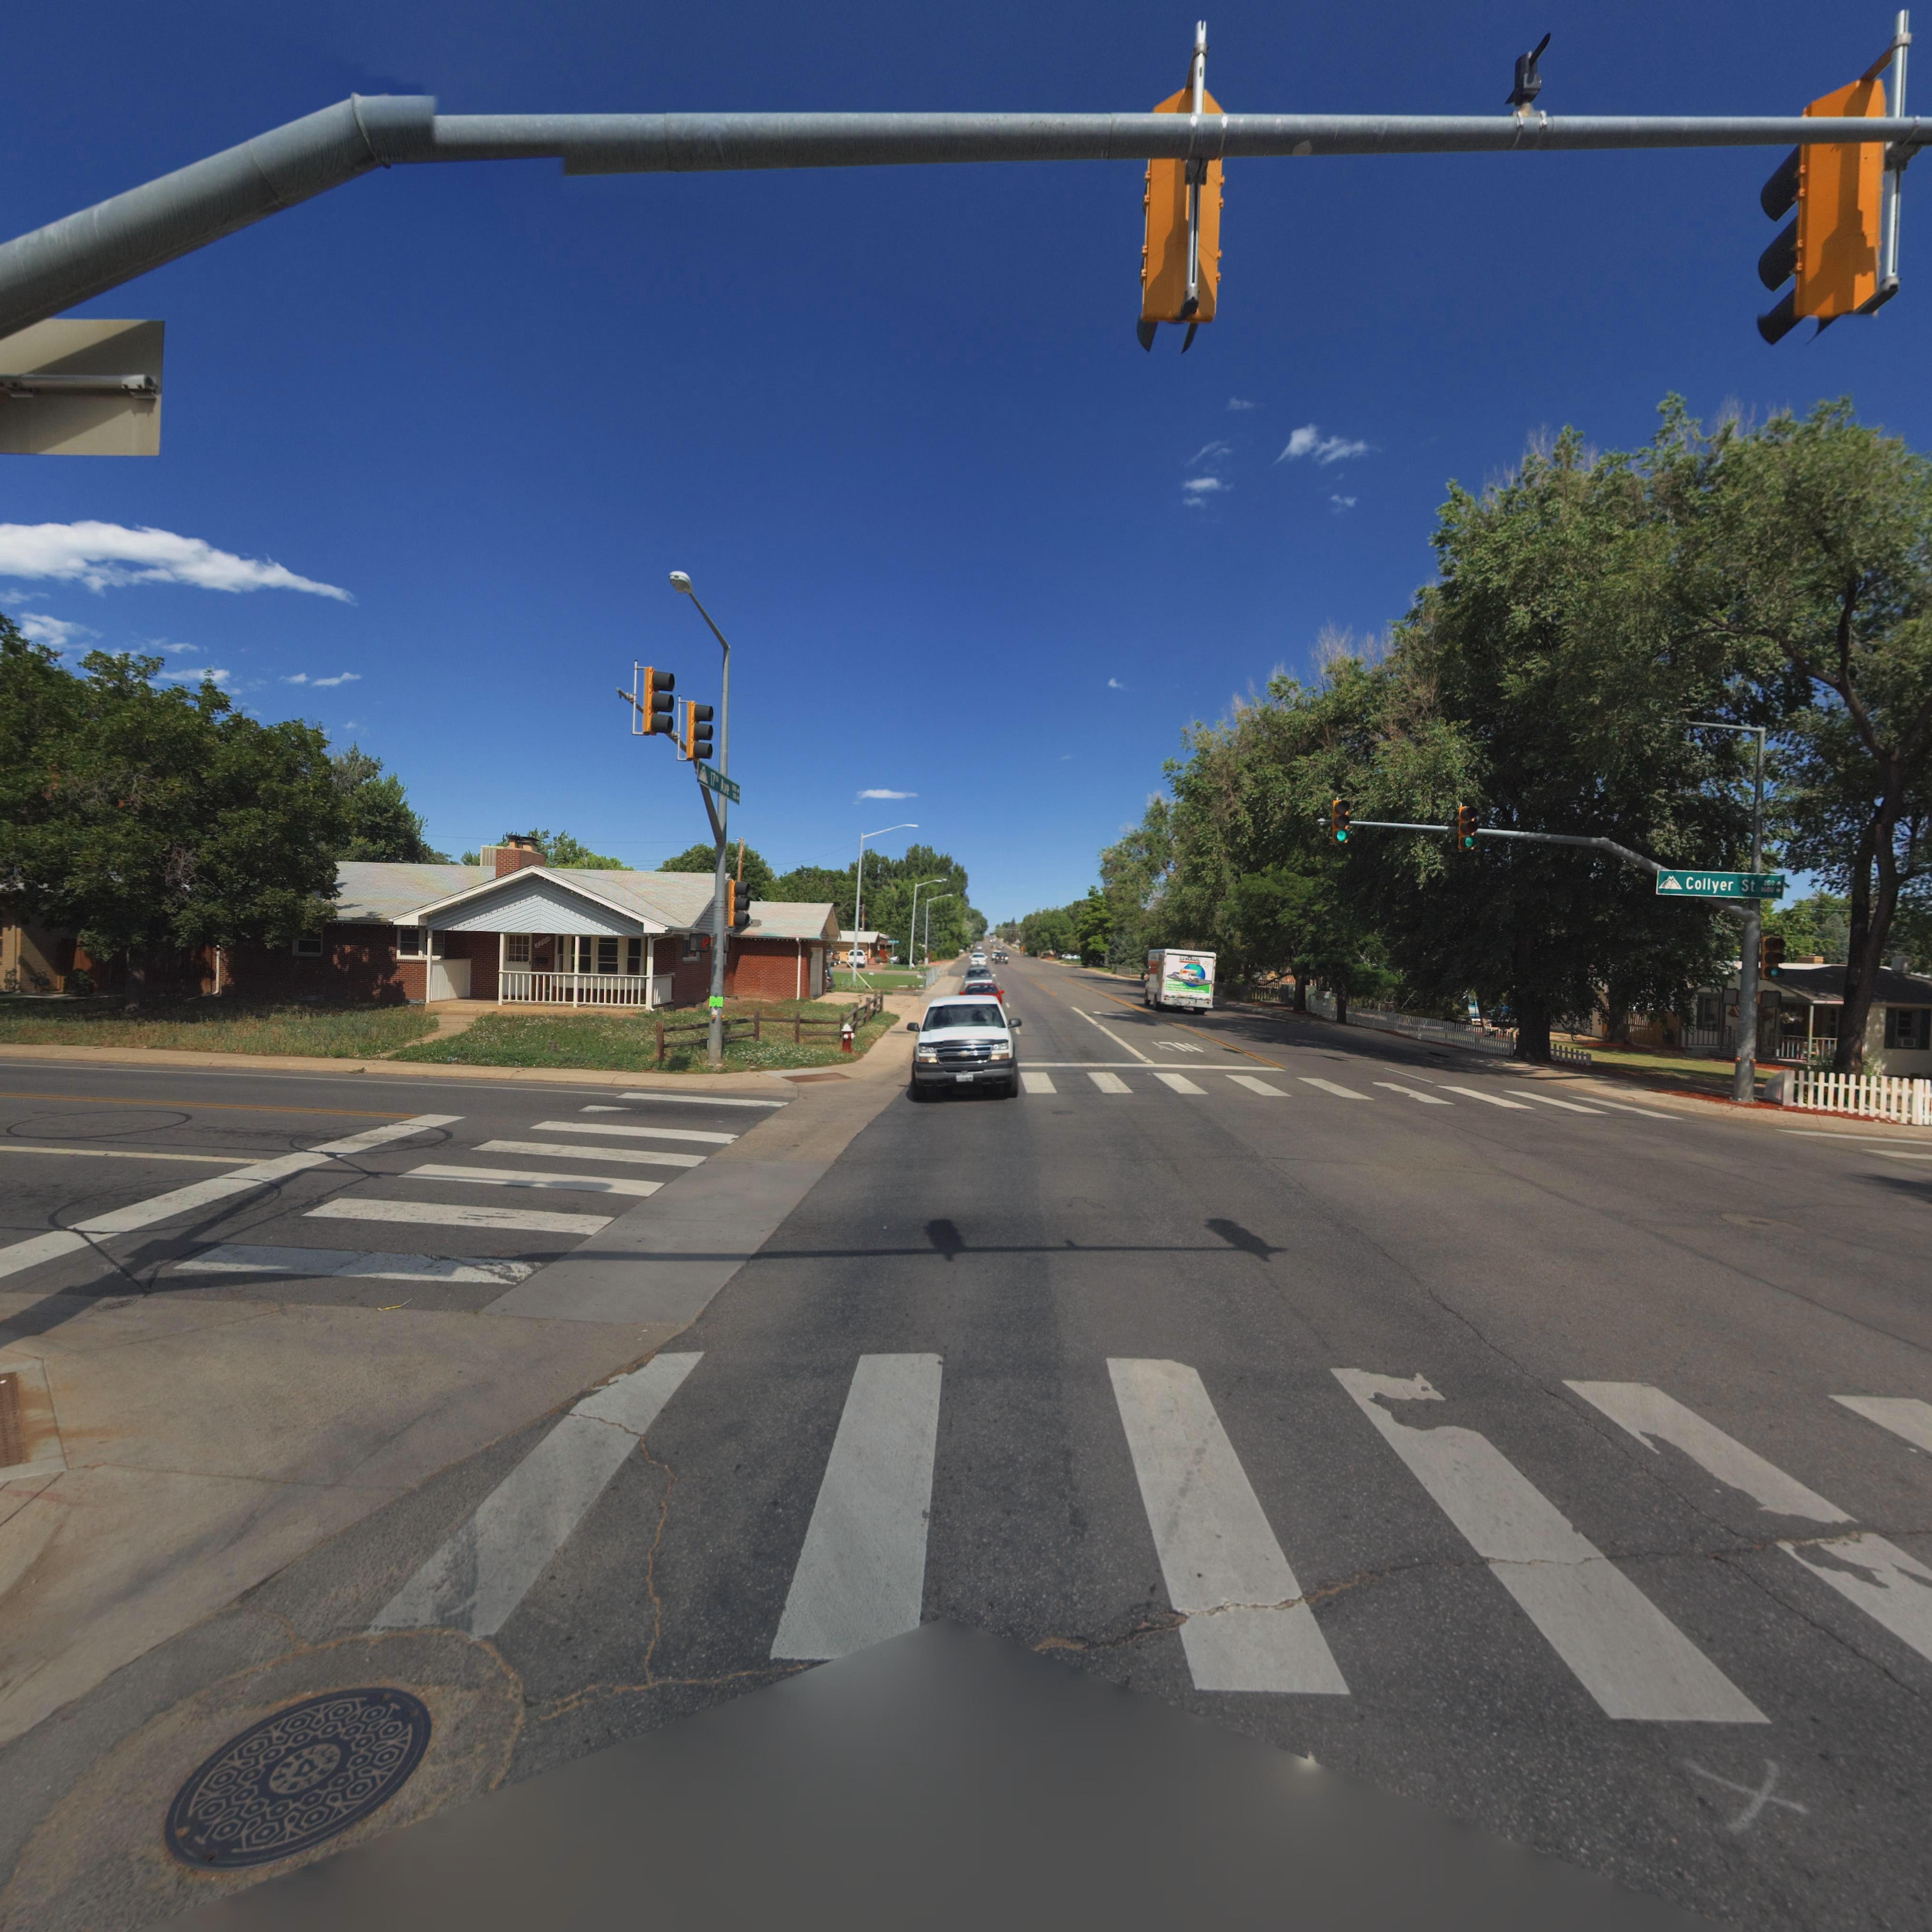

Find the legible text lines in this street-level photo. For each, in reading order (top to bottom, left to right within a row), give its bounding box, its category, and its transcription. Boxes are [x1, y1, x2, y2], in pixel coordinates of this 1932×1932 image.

[710, 771, 729, 796] StreetName: 17** Ave
[732, 792, 739, 801] StreetNumberRange: 2***
[1685, 876, 1756, 894] StreetName: Collyer St
[1763, 879, 1776, 886] StreetNumberRange: 200
[1760, 886, 1781, 892] StreetNumberRange: 1*0**
[536, 936, 550, 947] StreetNumber: **0*